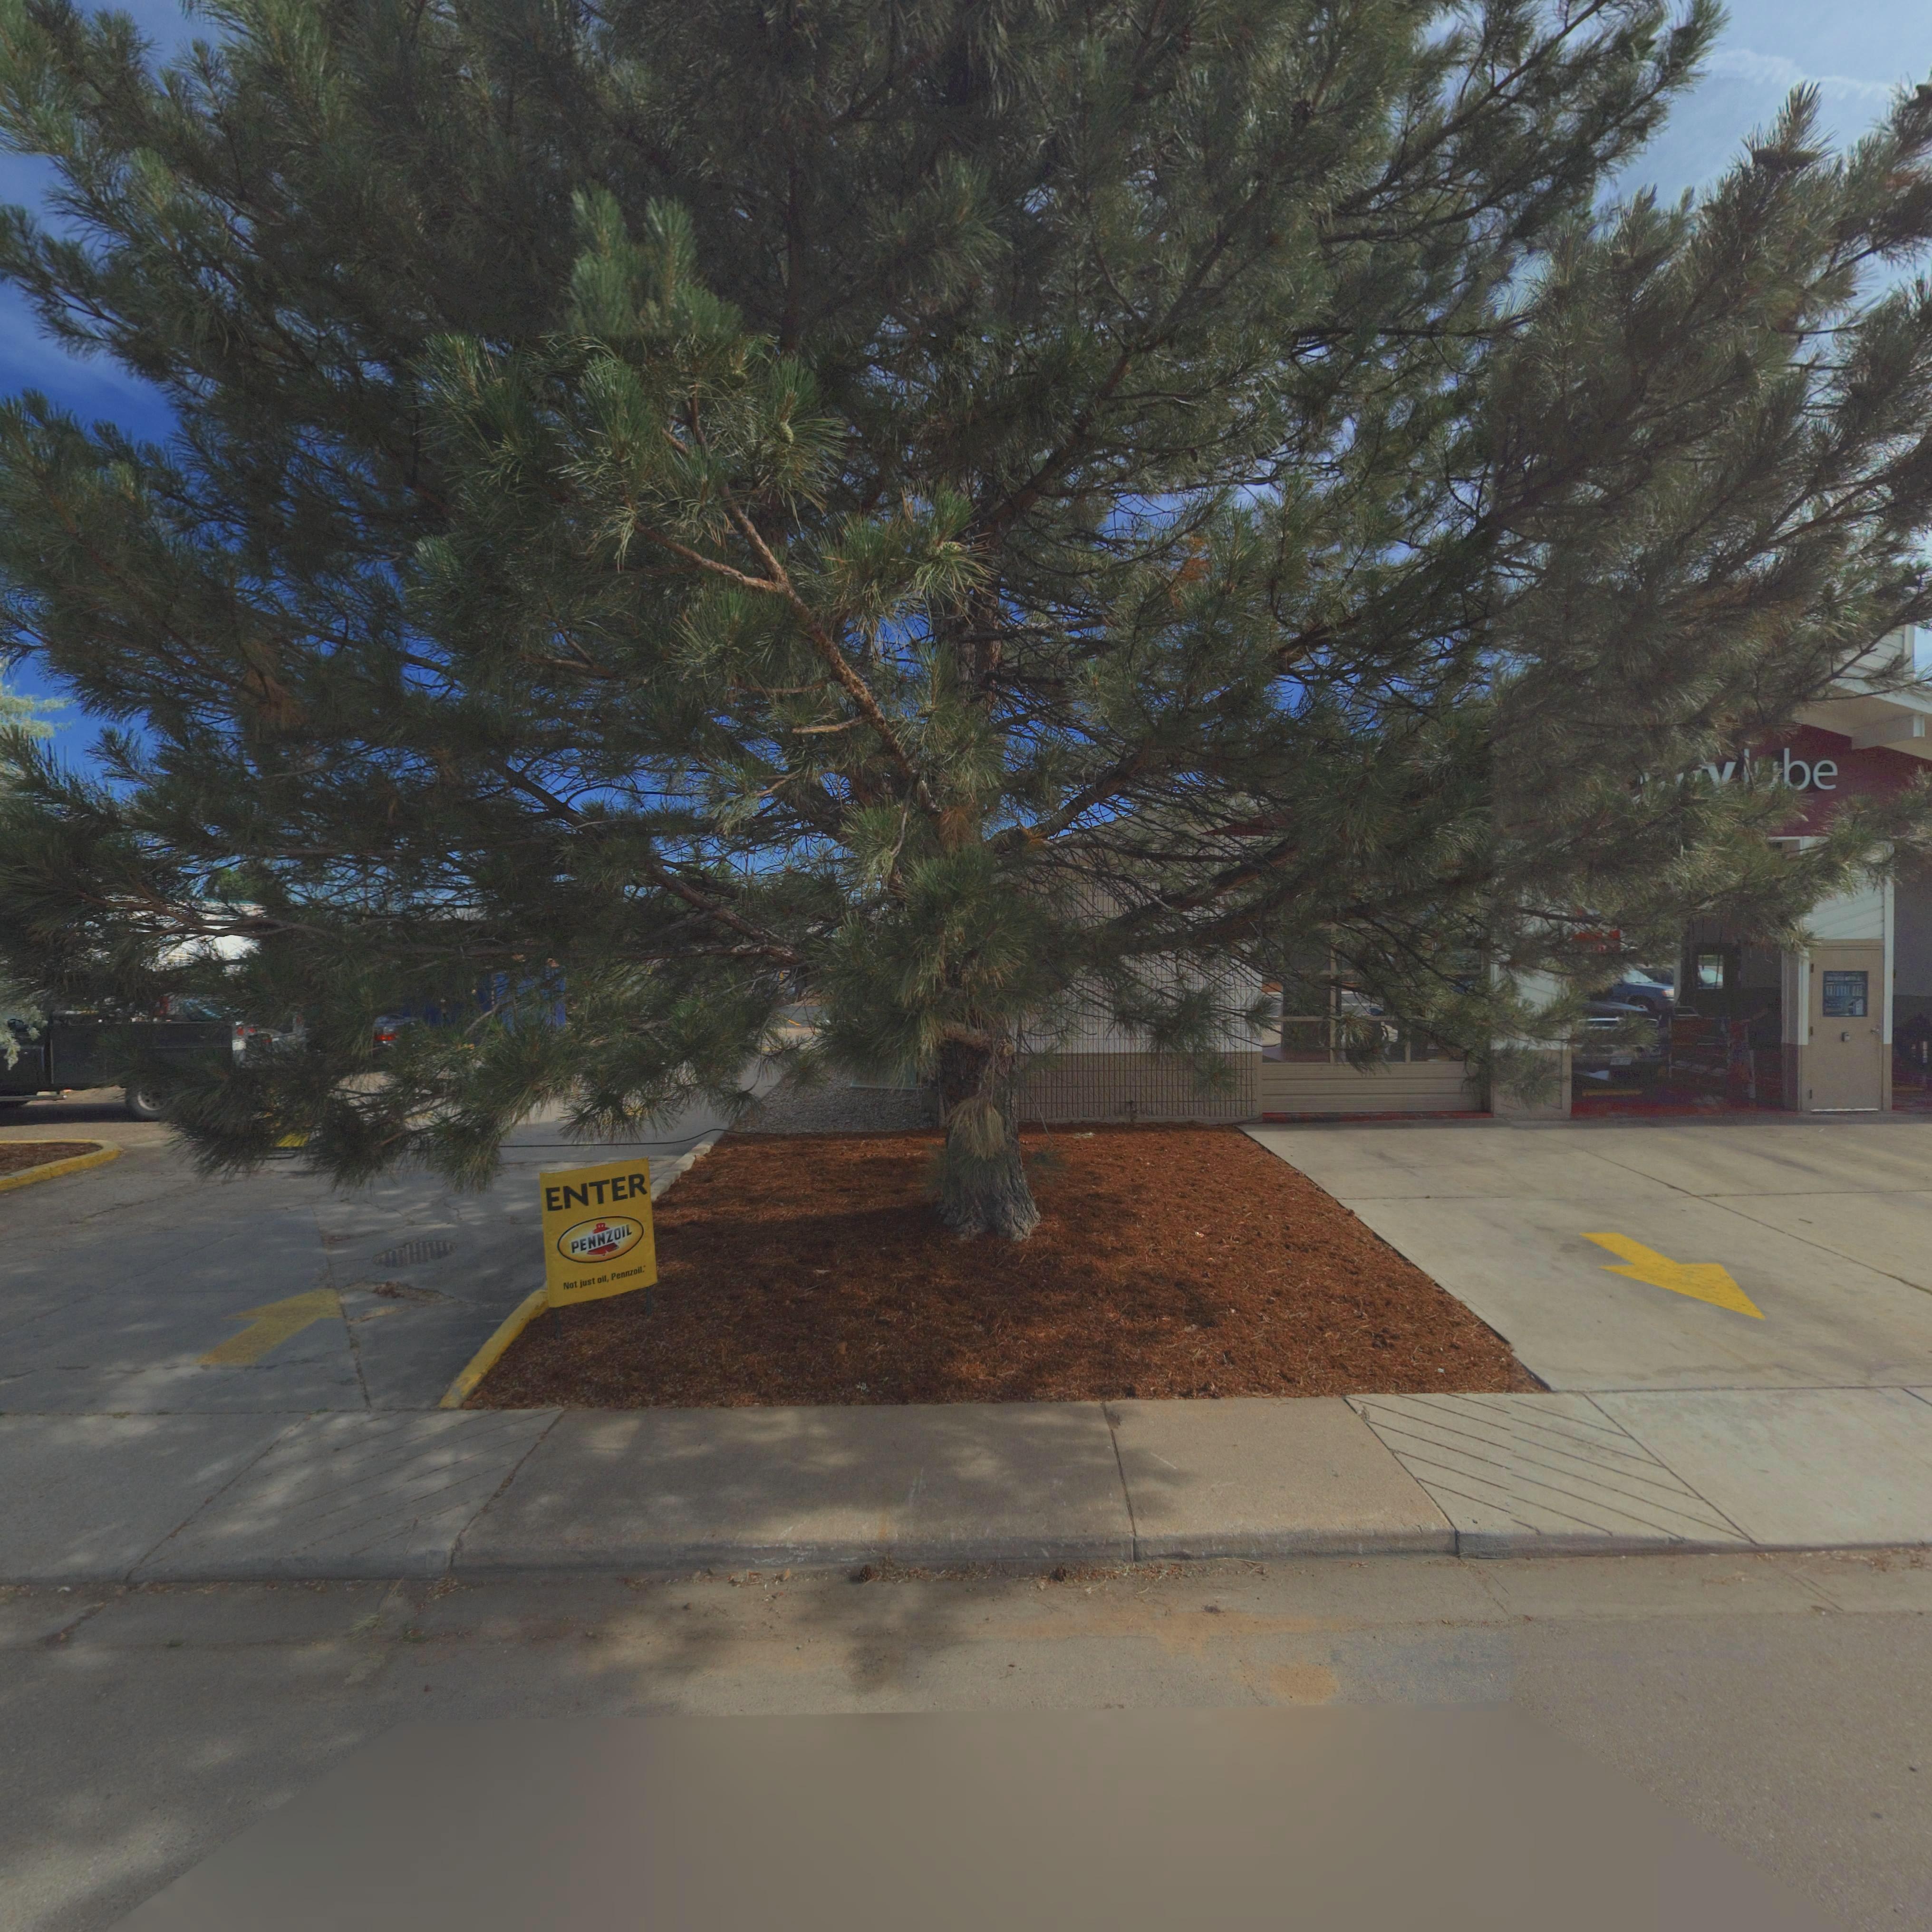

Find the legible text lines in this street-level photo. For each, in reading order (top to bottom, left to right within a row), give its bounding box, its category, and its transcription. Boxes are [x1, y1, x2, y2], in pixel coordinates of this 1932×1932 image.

[1782, 745, 1839, 791] BusinessName: be